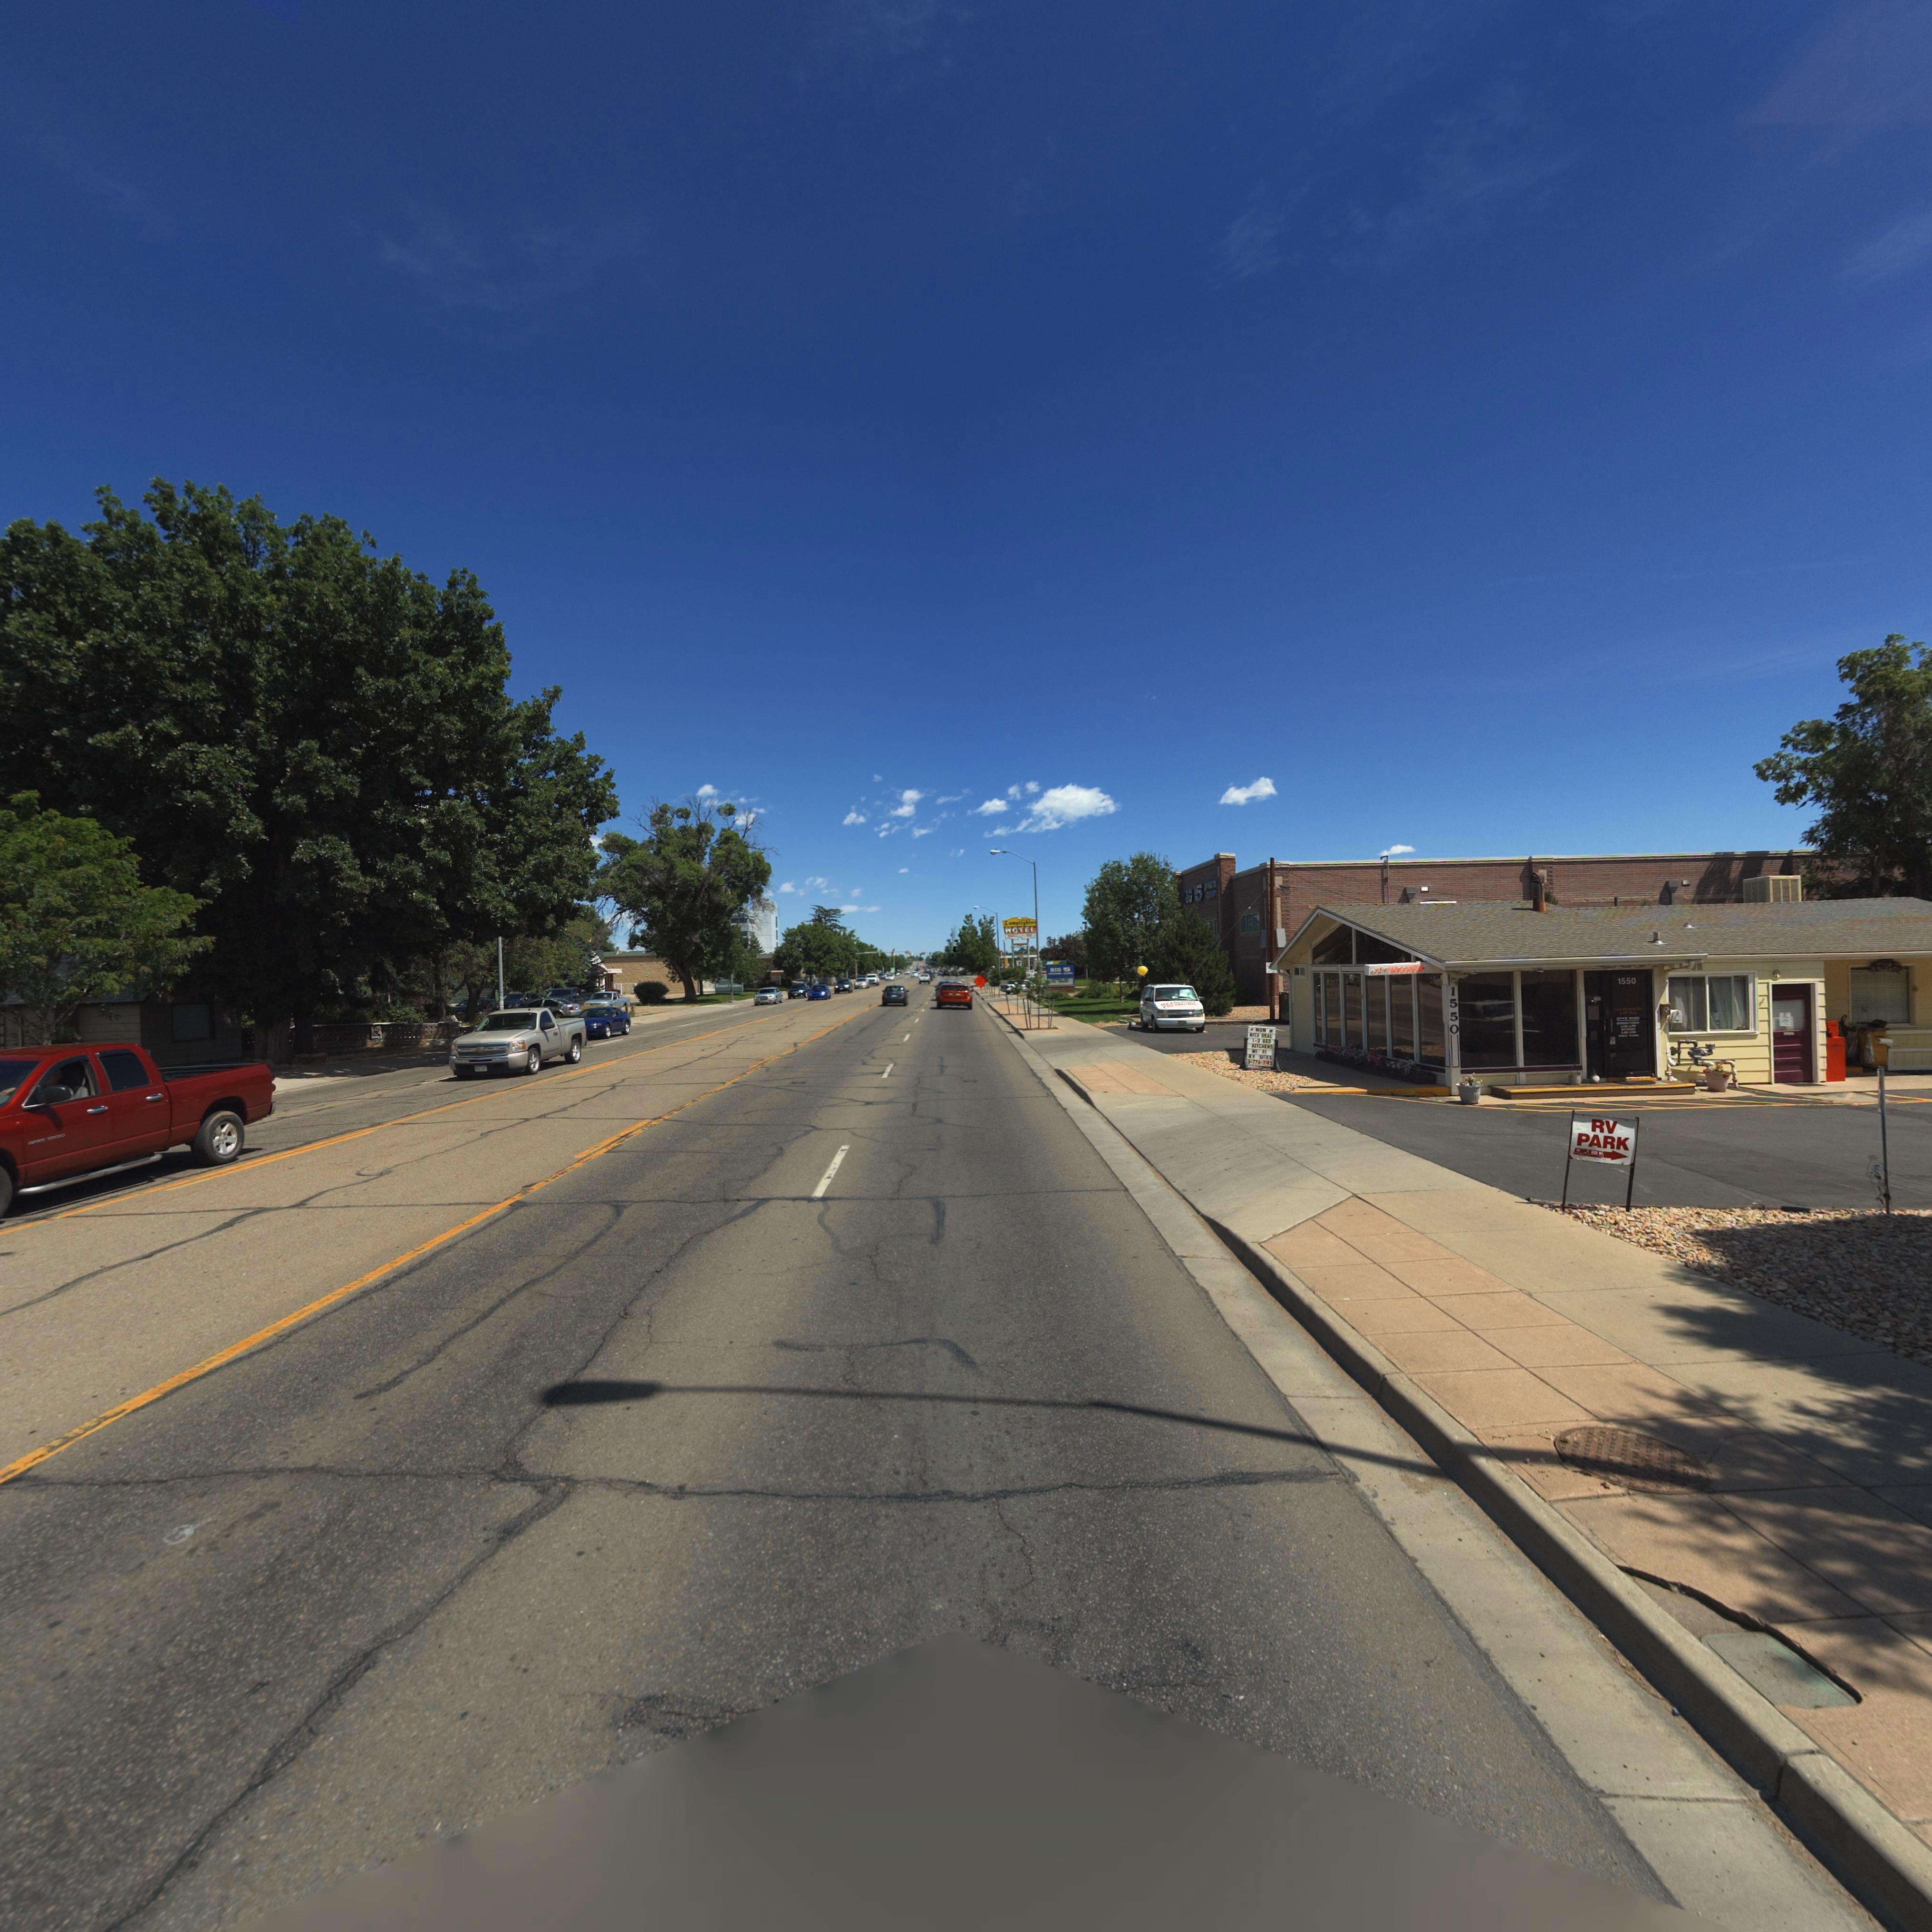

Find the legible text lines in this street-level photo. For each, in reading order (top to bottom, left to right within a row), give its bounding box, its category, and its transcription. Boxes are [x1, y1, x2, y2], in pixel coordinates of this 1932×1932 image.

[1203, 879, 1217, 890] BusinessName: **O****
[1182, 883, 1204, 904] BusinessName: BIG 5
[1205, 889, 1217, 899] BusinessName: *OO**
[1004, 920, 1036, 926] BusinessName: Lamplighter
[1005, 926, 1035, 933] BusinessName: MOTEL
[1050, 967, 1071, 972] BusinessName: BIG 5
[1617, 976, 1636, 985] StreetNumber: 1550
[1449, 986, 1459, 1034] StreetNumber: 1550